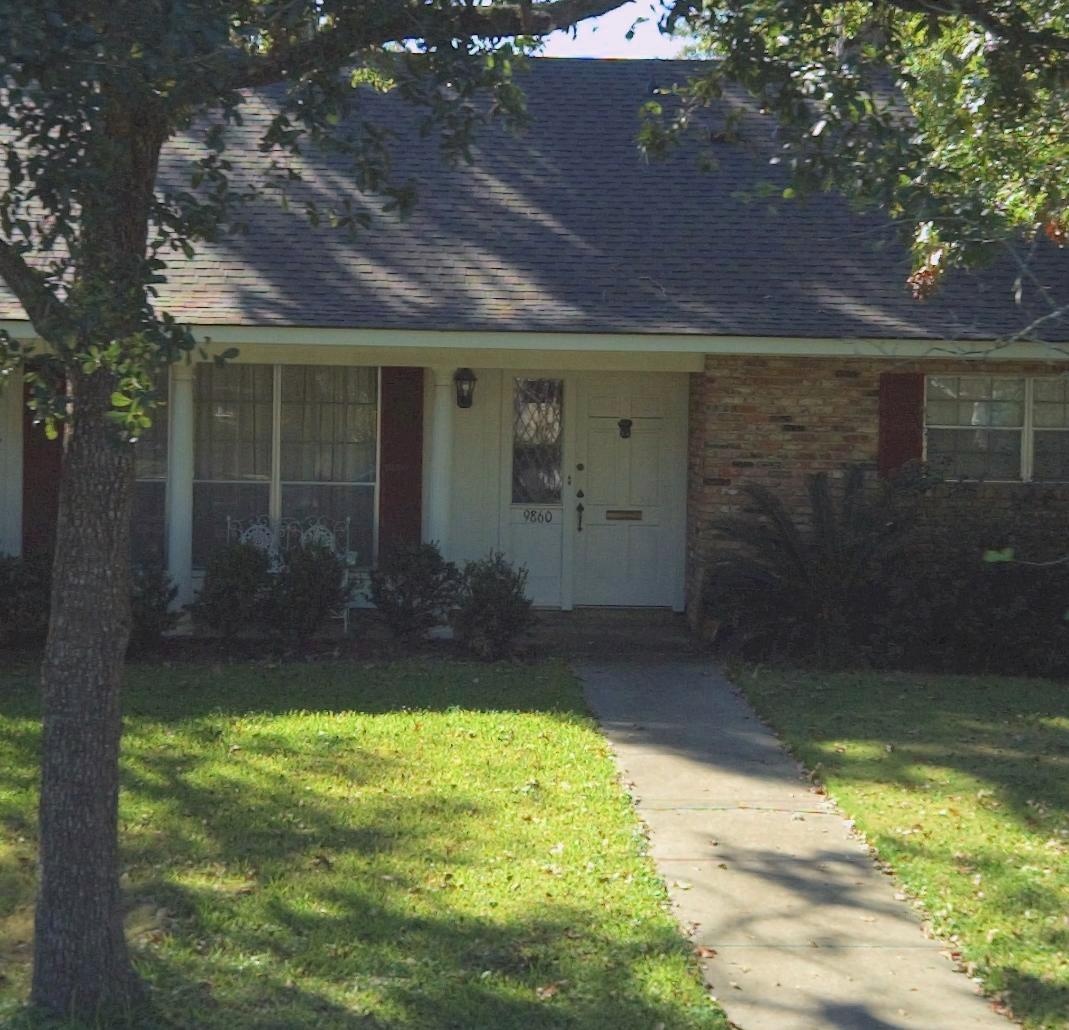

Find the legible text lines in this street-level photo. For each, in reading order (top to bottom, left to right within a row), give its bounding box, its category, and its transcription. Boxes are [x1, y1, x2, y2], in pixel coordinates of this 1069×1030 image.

[521, 507, 554, 525] StreetNumber: 9860